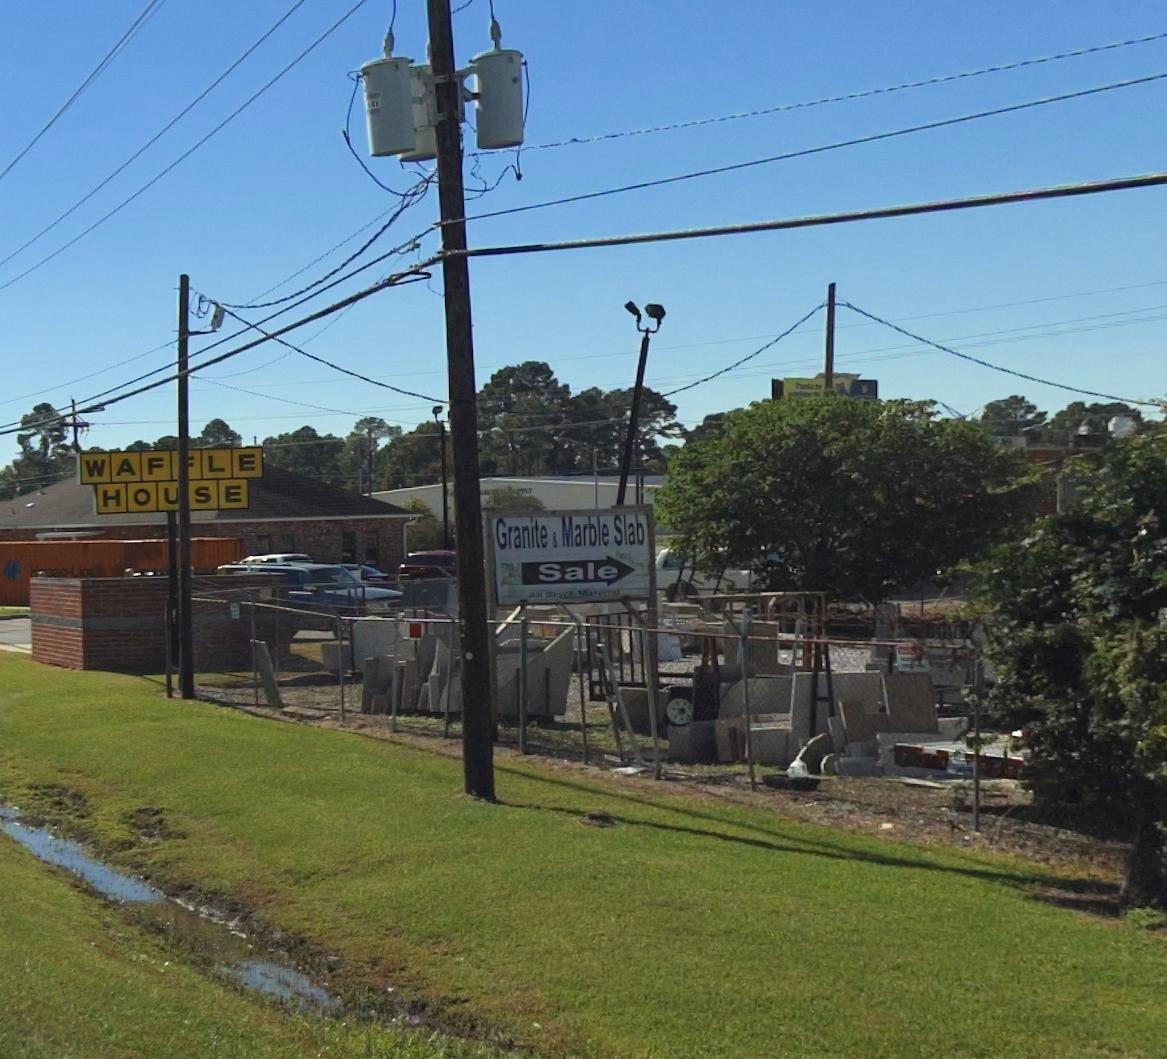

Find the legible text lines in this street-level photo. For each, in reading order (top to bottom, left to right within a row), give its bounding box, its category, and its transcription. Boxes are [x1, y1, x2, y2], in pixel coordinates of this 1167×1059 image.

[81, 451, 260, 480] BusinessName: WAF*LE
[100, 482, 245, 509] BusinessName: HO*SE
[494, 511, 648, 554] BusinessName: Granite & Marble Slab
[70, 563, 85, 579] BusinessName: Ll
[536, 560, 621, 584] None: Sale